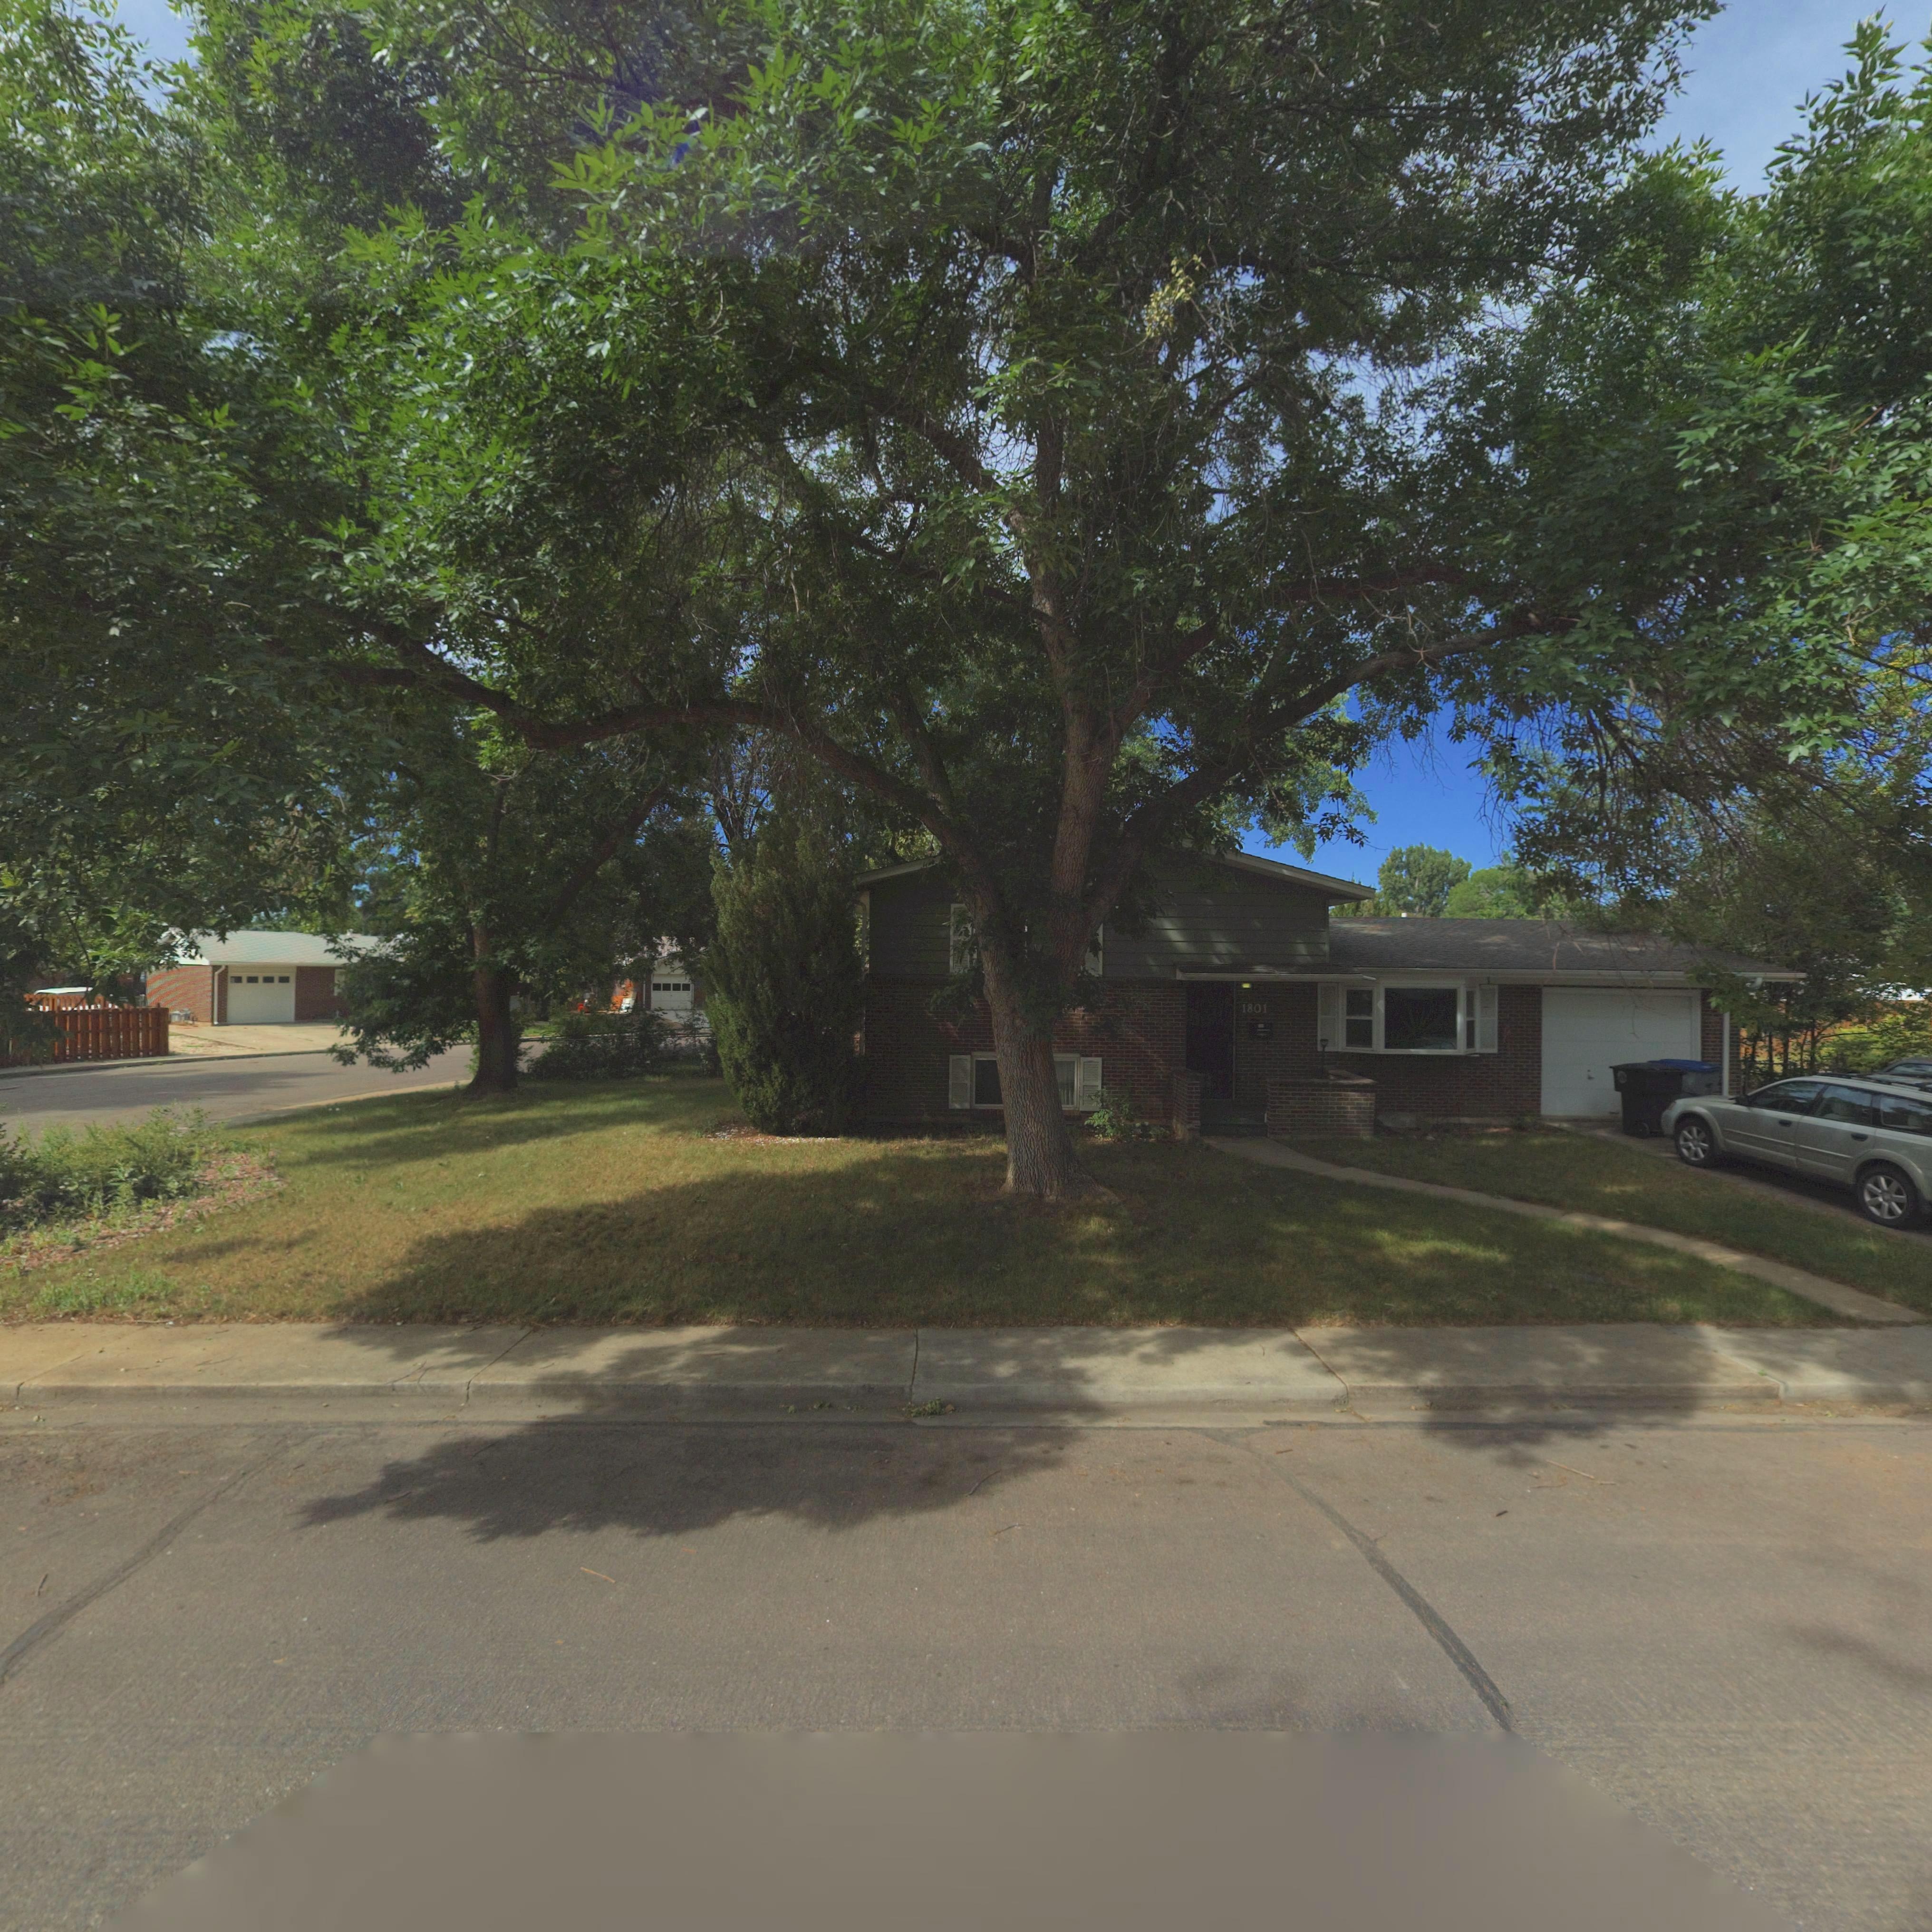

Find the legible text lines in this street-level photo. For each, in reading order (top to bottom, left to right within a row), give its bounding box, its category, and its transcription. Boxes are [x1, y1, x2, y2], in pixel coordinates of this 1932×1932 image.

[1242, 1003, 1267, 1013] StreetNumber: 1801